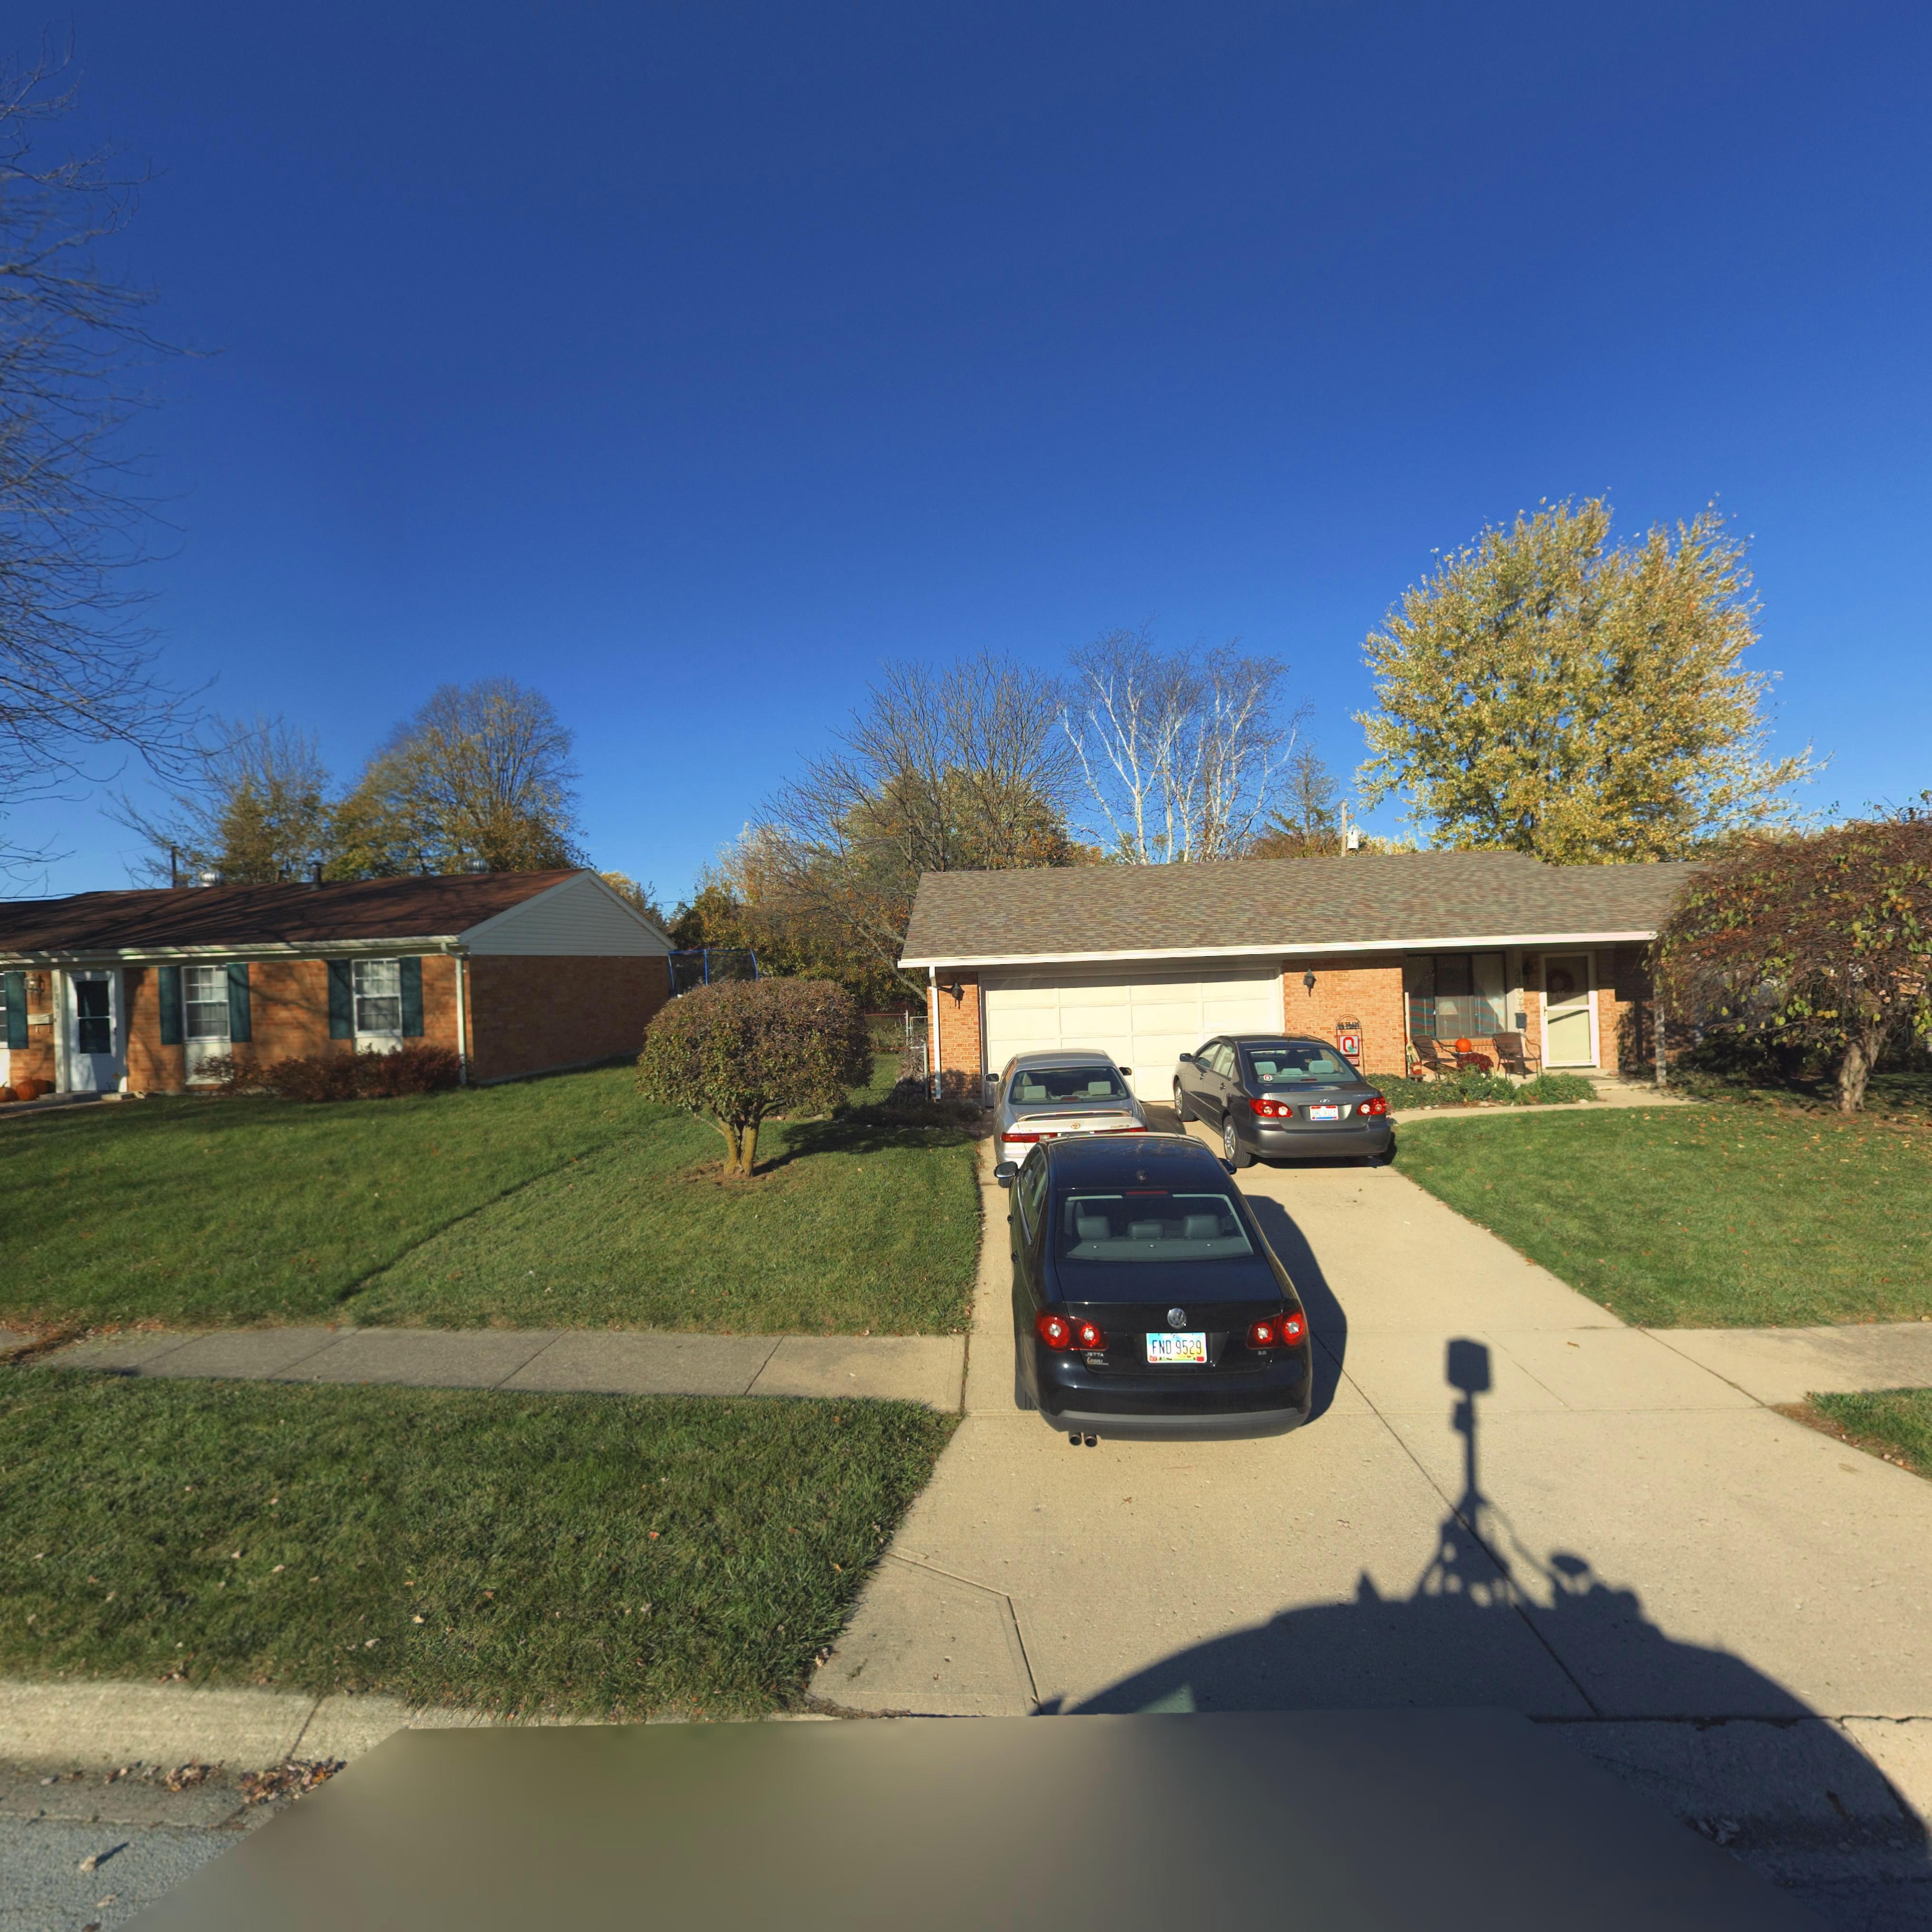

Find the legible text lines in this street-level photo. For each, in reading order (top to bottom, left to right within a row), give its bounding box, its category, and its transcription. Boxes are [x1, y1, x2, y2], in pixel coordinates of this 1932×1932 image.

[53, 984, 61, 1019] StreetNumber: 6730